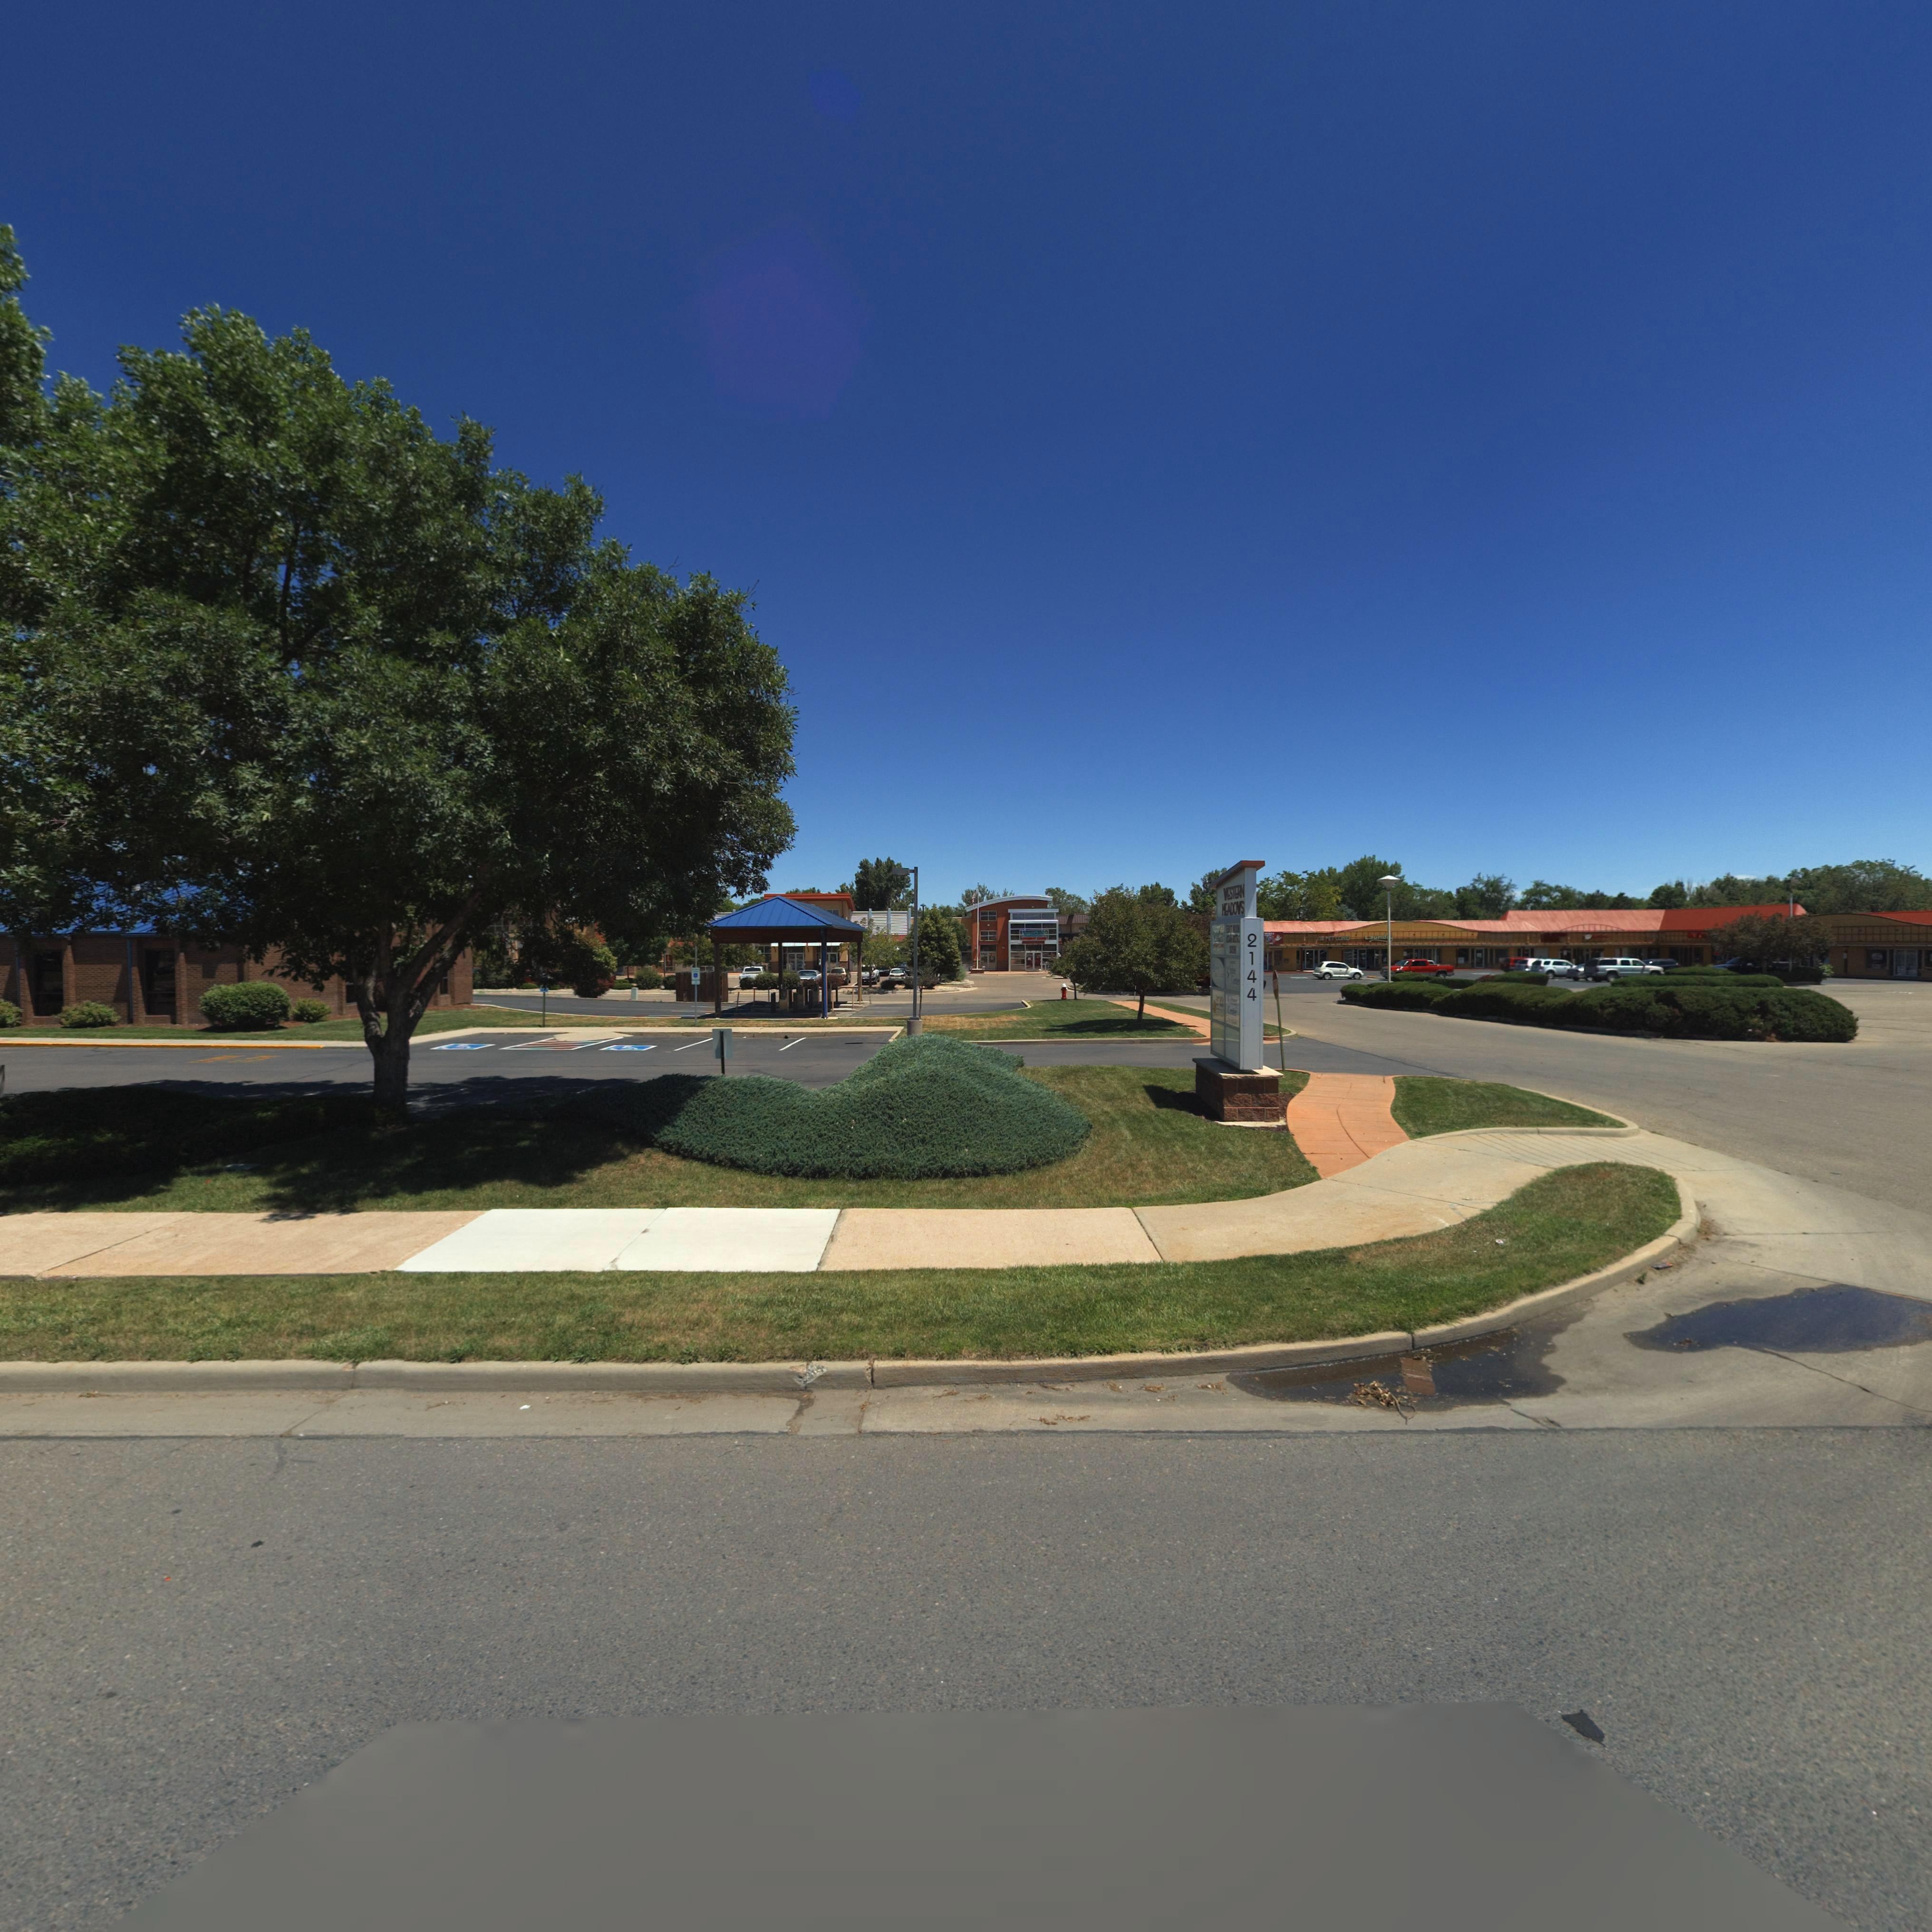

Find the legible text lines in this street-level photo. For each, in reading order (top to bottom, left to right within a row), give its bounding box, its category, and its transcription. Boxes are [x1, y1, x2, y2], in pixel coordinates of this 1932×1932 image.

[1226, 924, 1233, 933] BusinessName: E***
[1021, 937, 1047, 940] BusinessName: U****T C**E
[1021, 930, 1047, 937] BusinessName: N*** C**E
[1232, 934, 1240, 943] BusinessName: B****O
[1318, 935, 1350, 941] BusinessName: *E PET CL***C
[1228, 945, 1236, 954] BusinessName: S****
[1246, 933, 1257, 1001] StreetNumber: 2144
[1227, 994, 1238, 1008] BusinessName: K*****
[1227, 1005, 1237, 1016] BusinessName: C*****